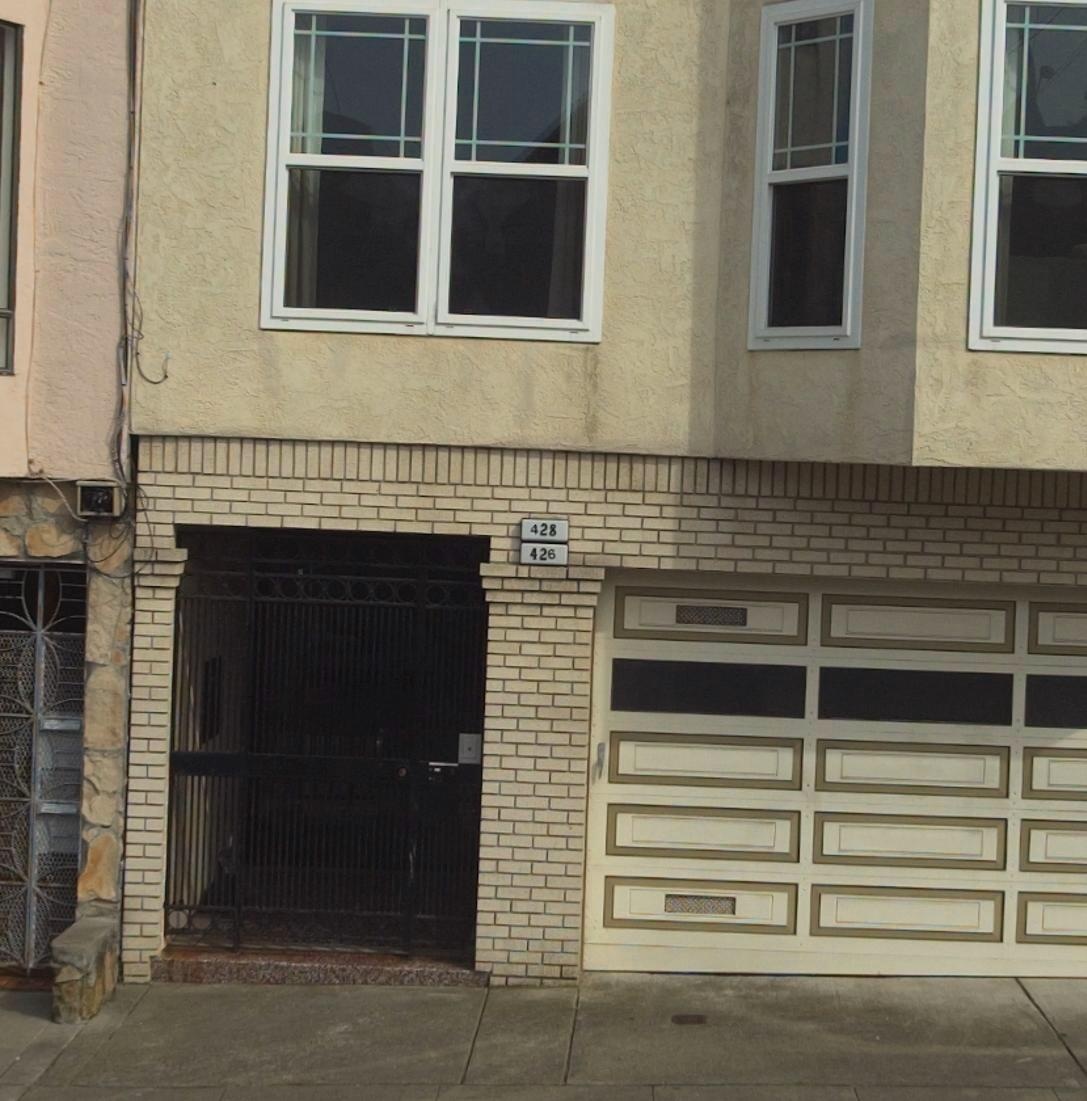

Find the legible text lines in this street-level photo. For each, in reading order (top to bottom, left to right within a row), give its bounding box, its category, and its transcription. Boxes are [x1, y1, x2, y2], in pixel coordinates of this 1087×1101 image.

[529, 522, 558, 538] StreetNumber: 428
[528, 546, 557, 562] StreetNumber: 426